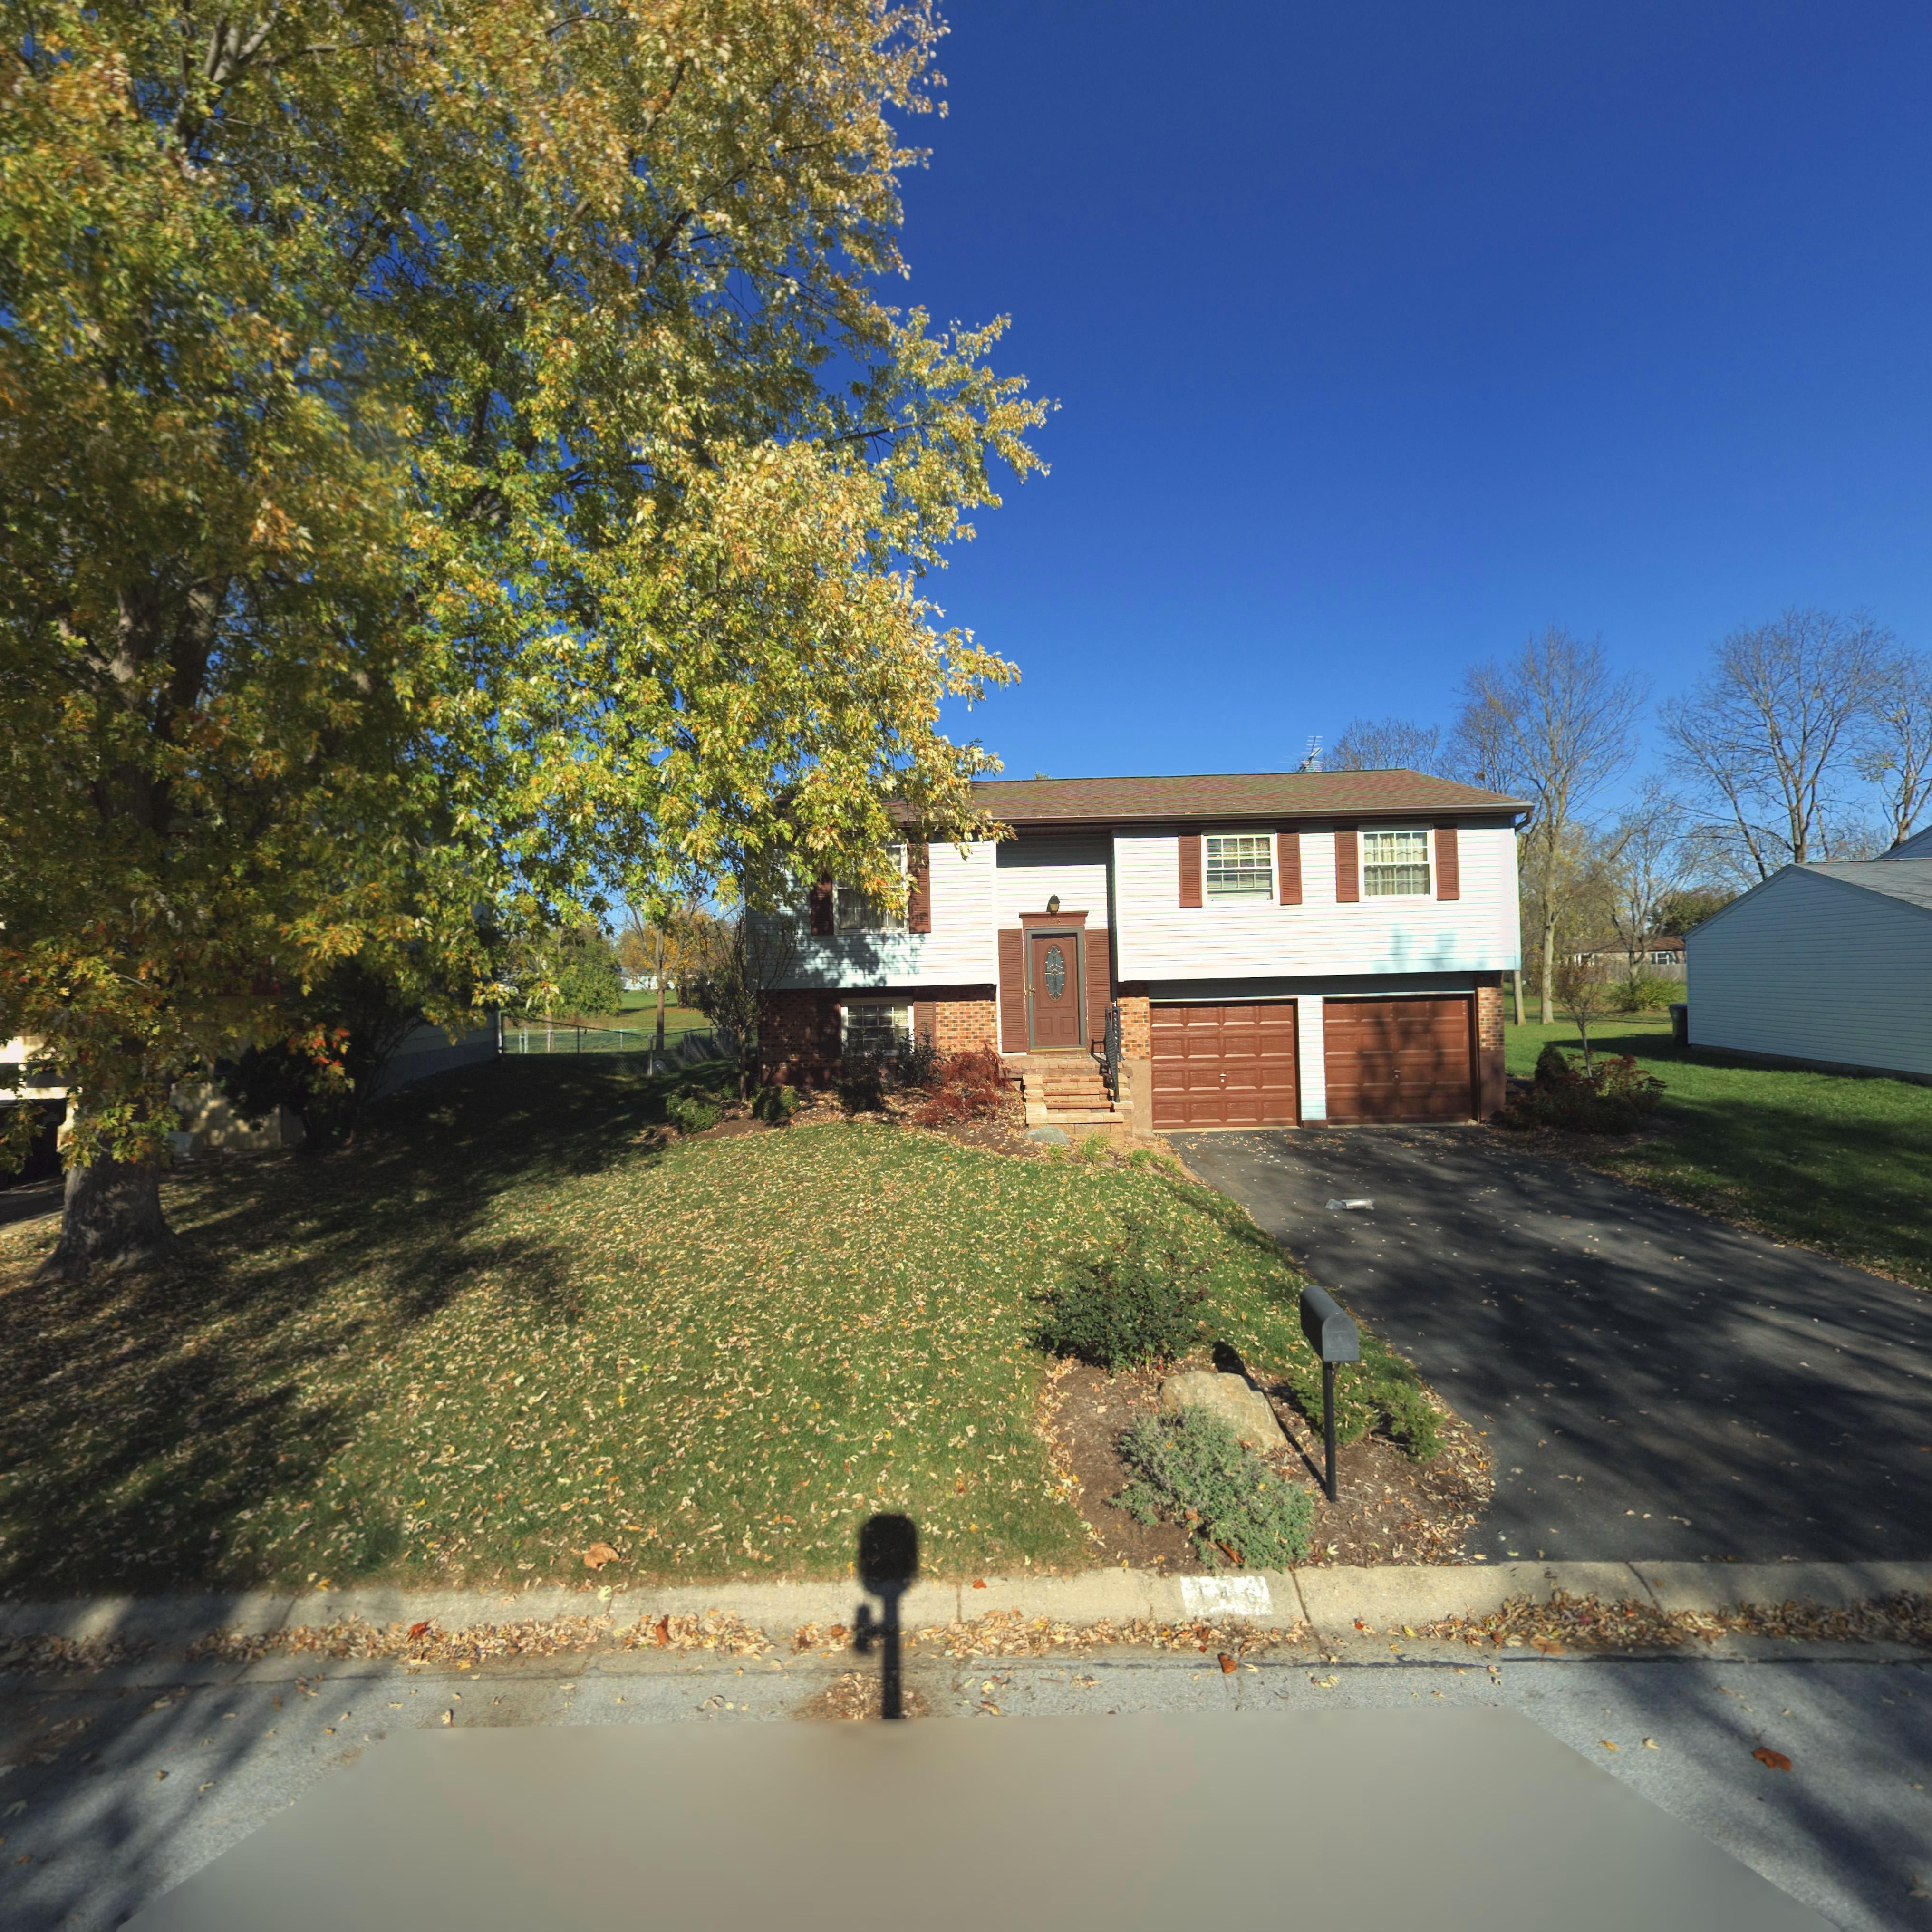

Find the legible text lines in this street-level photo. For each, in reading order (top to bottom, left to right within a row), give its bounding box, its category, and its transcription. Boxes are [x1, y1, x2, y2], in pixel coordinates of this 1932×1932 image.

[1046, 916, 1063, 926] StreetNumber: 14*
[1197, 1584, 1258, 1606] StreetNumber: 1*6